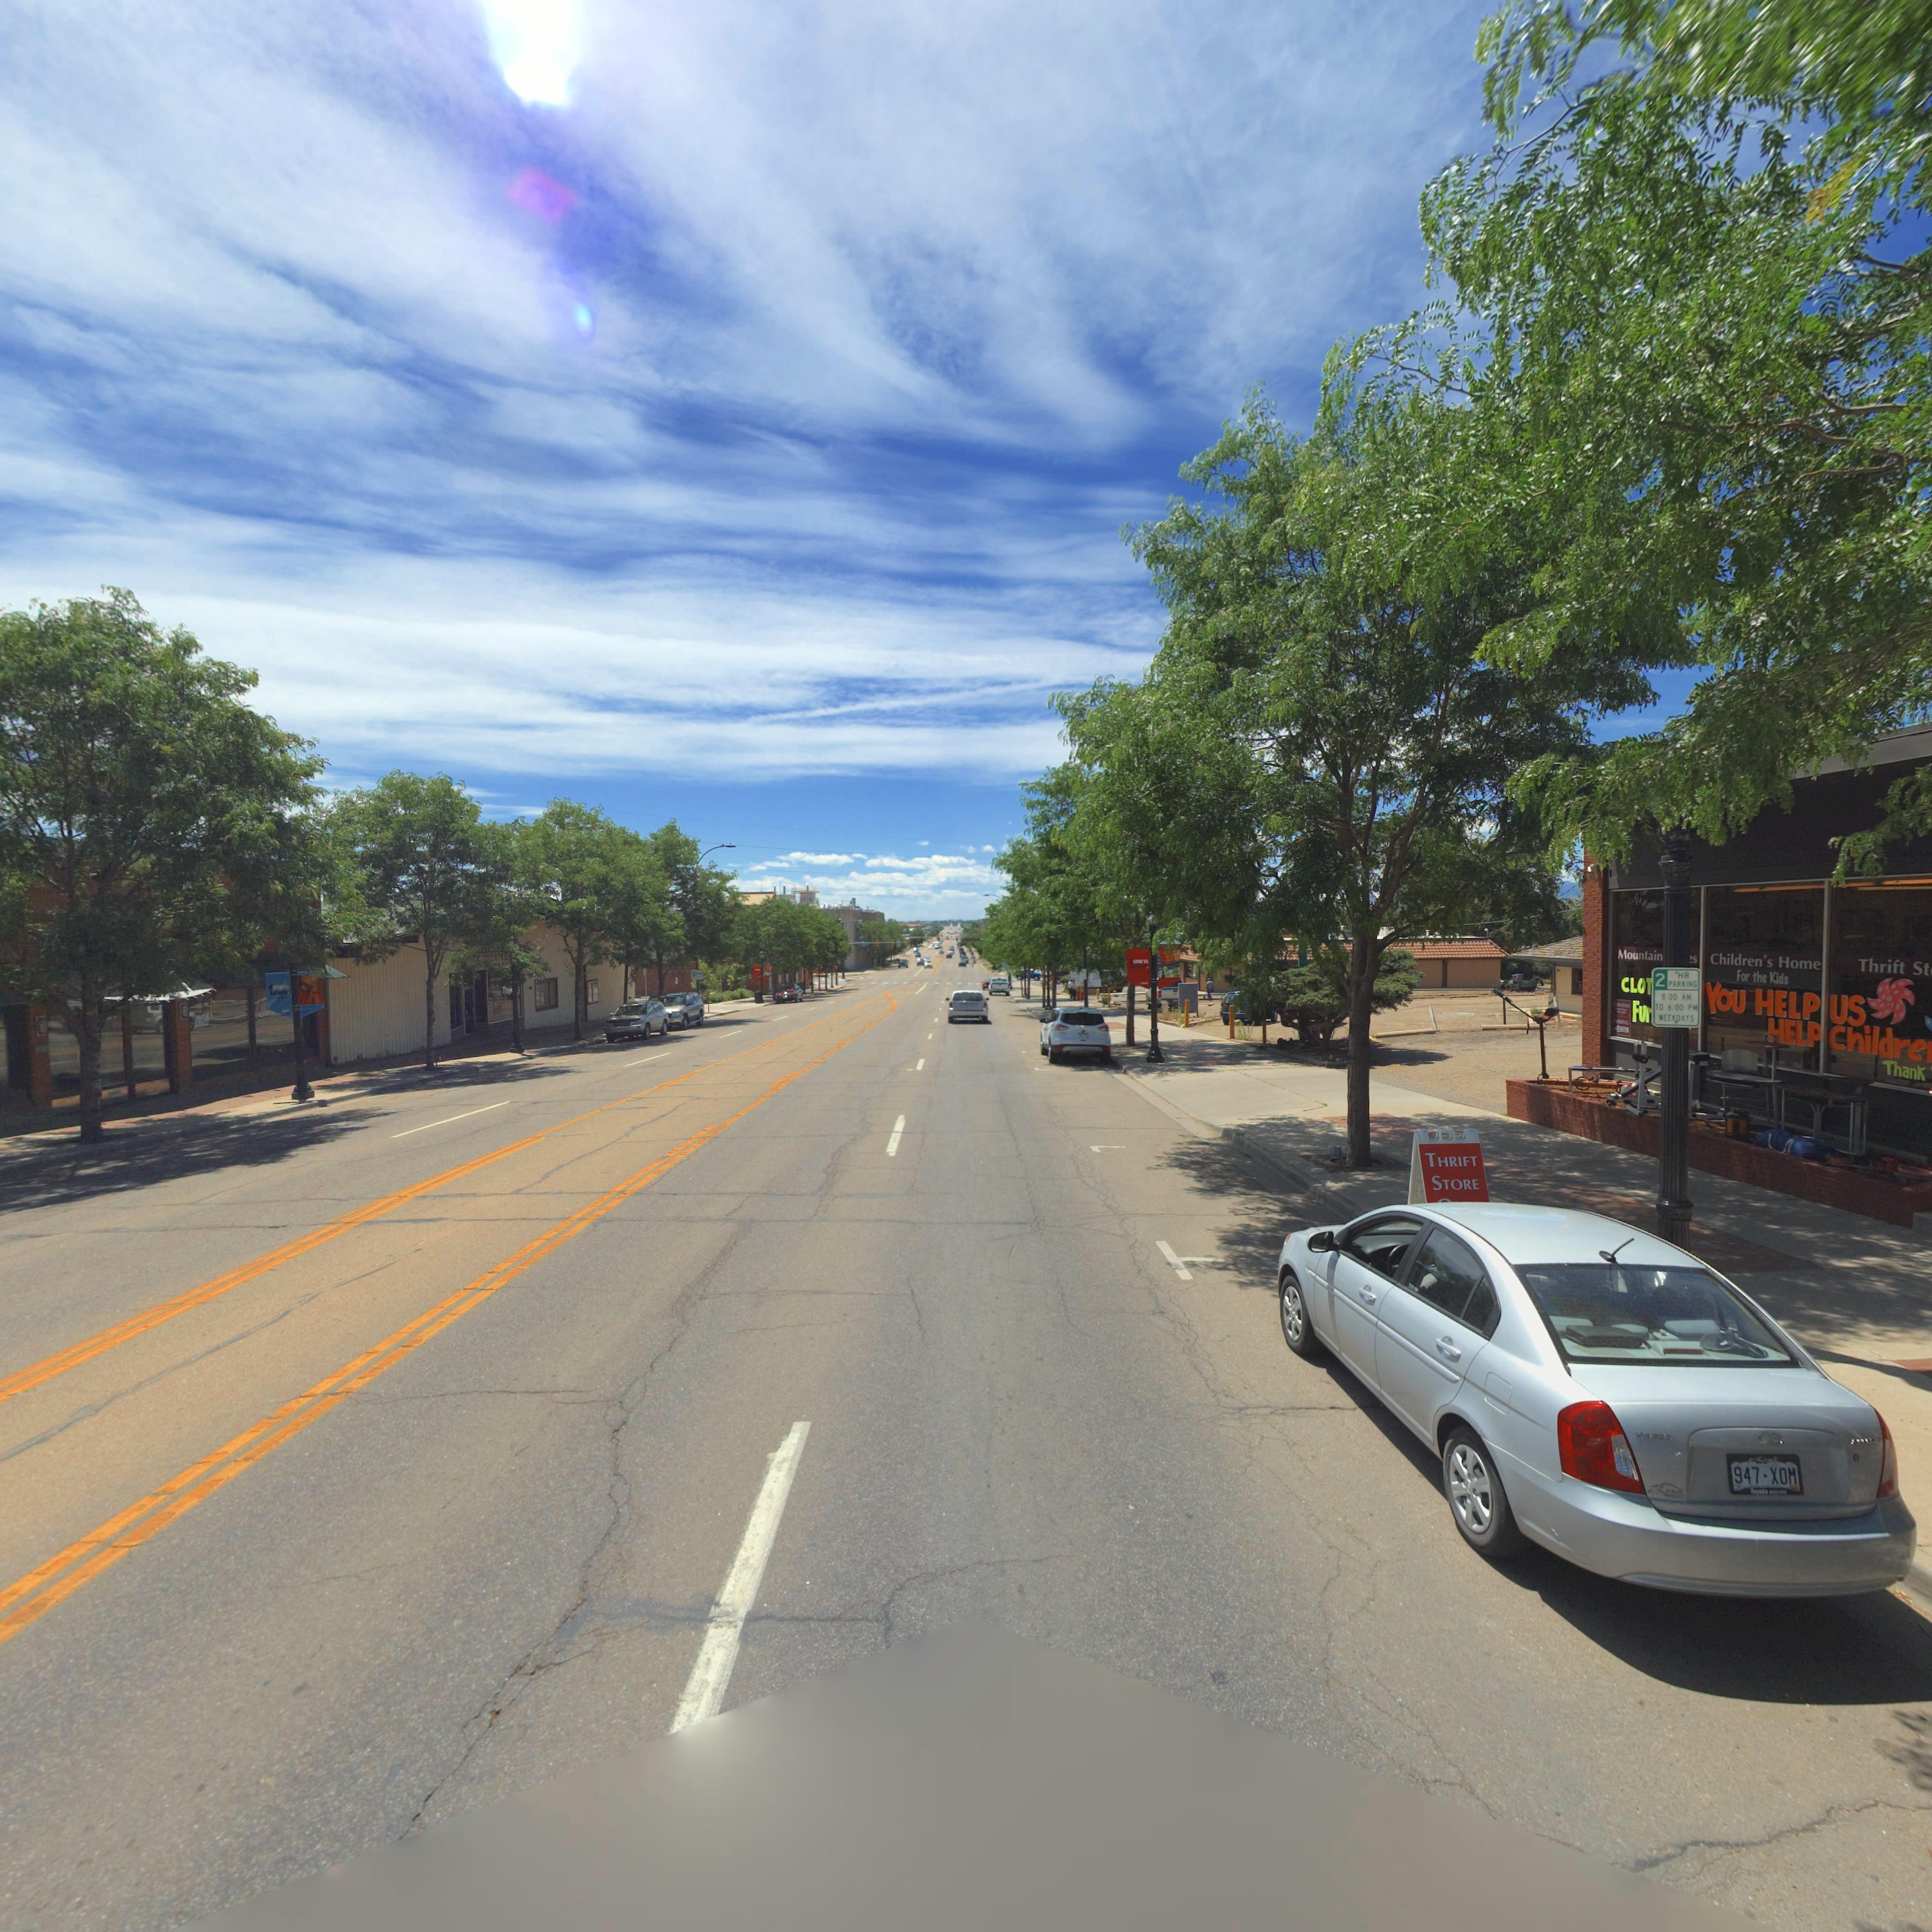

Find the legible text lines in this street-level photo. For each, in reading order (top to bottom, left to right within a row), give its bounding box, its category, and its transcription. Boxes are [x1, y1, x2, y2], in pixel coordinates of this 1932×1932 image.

[474, 941, 503, 952] BusinessName: ****ERS
[450, 952, 509, 965] BusinessName: ***NER THEATR*
[1617, 947, 1699, 965] BusinessName: Mountain *****s
[1710, 952, 1821, 970] BusinessName: Children's Home
[1857, 957, 1930, 976] BusinessName: Thrift St
[1736, 969, 1789, 985] BusinessName: For the Kids